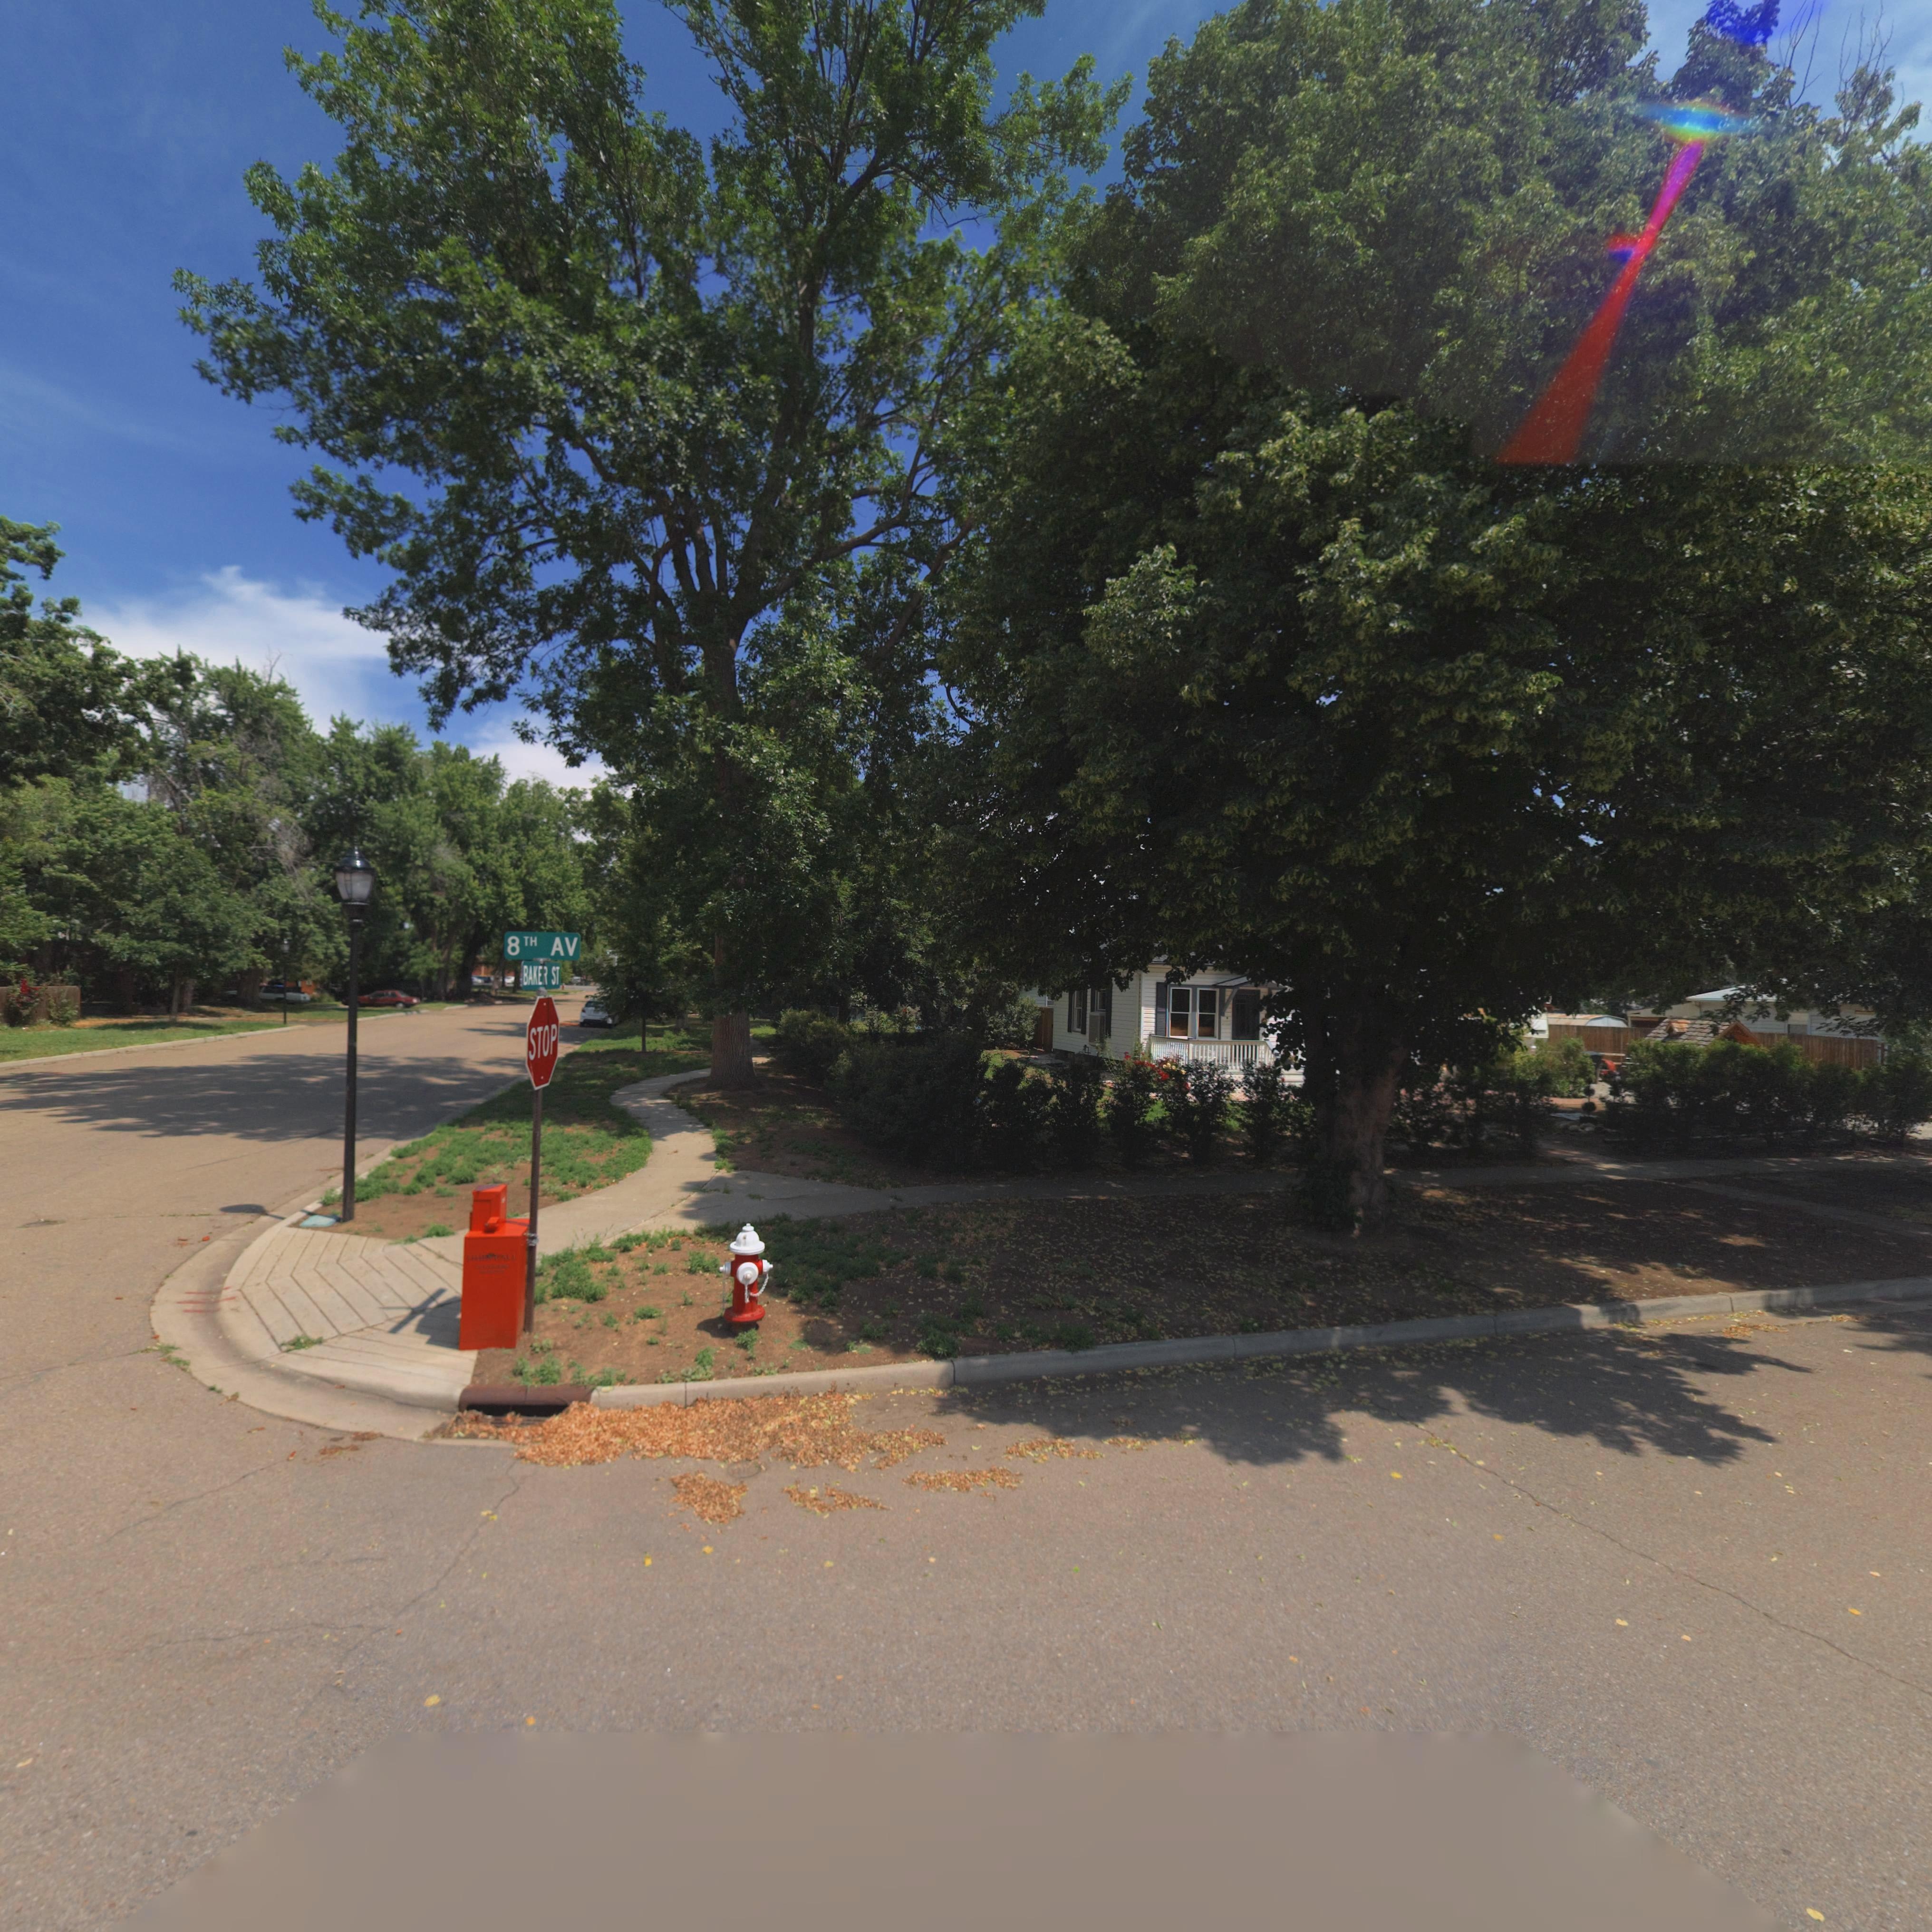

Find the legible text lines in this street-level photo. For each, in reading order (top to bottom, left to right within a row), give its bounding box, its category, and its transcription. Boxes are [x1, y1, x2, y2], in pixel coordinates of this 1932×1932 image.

[506, 935, 580, 957] StreetName: 8TH AV
[522, 964, 560, 986] StreetName: BAKE* ST